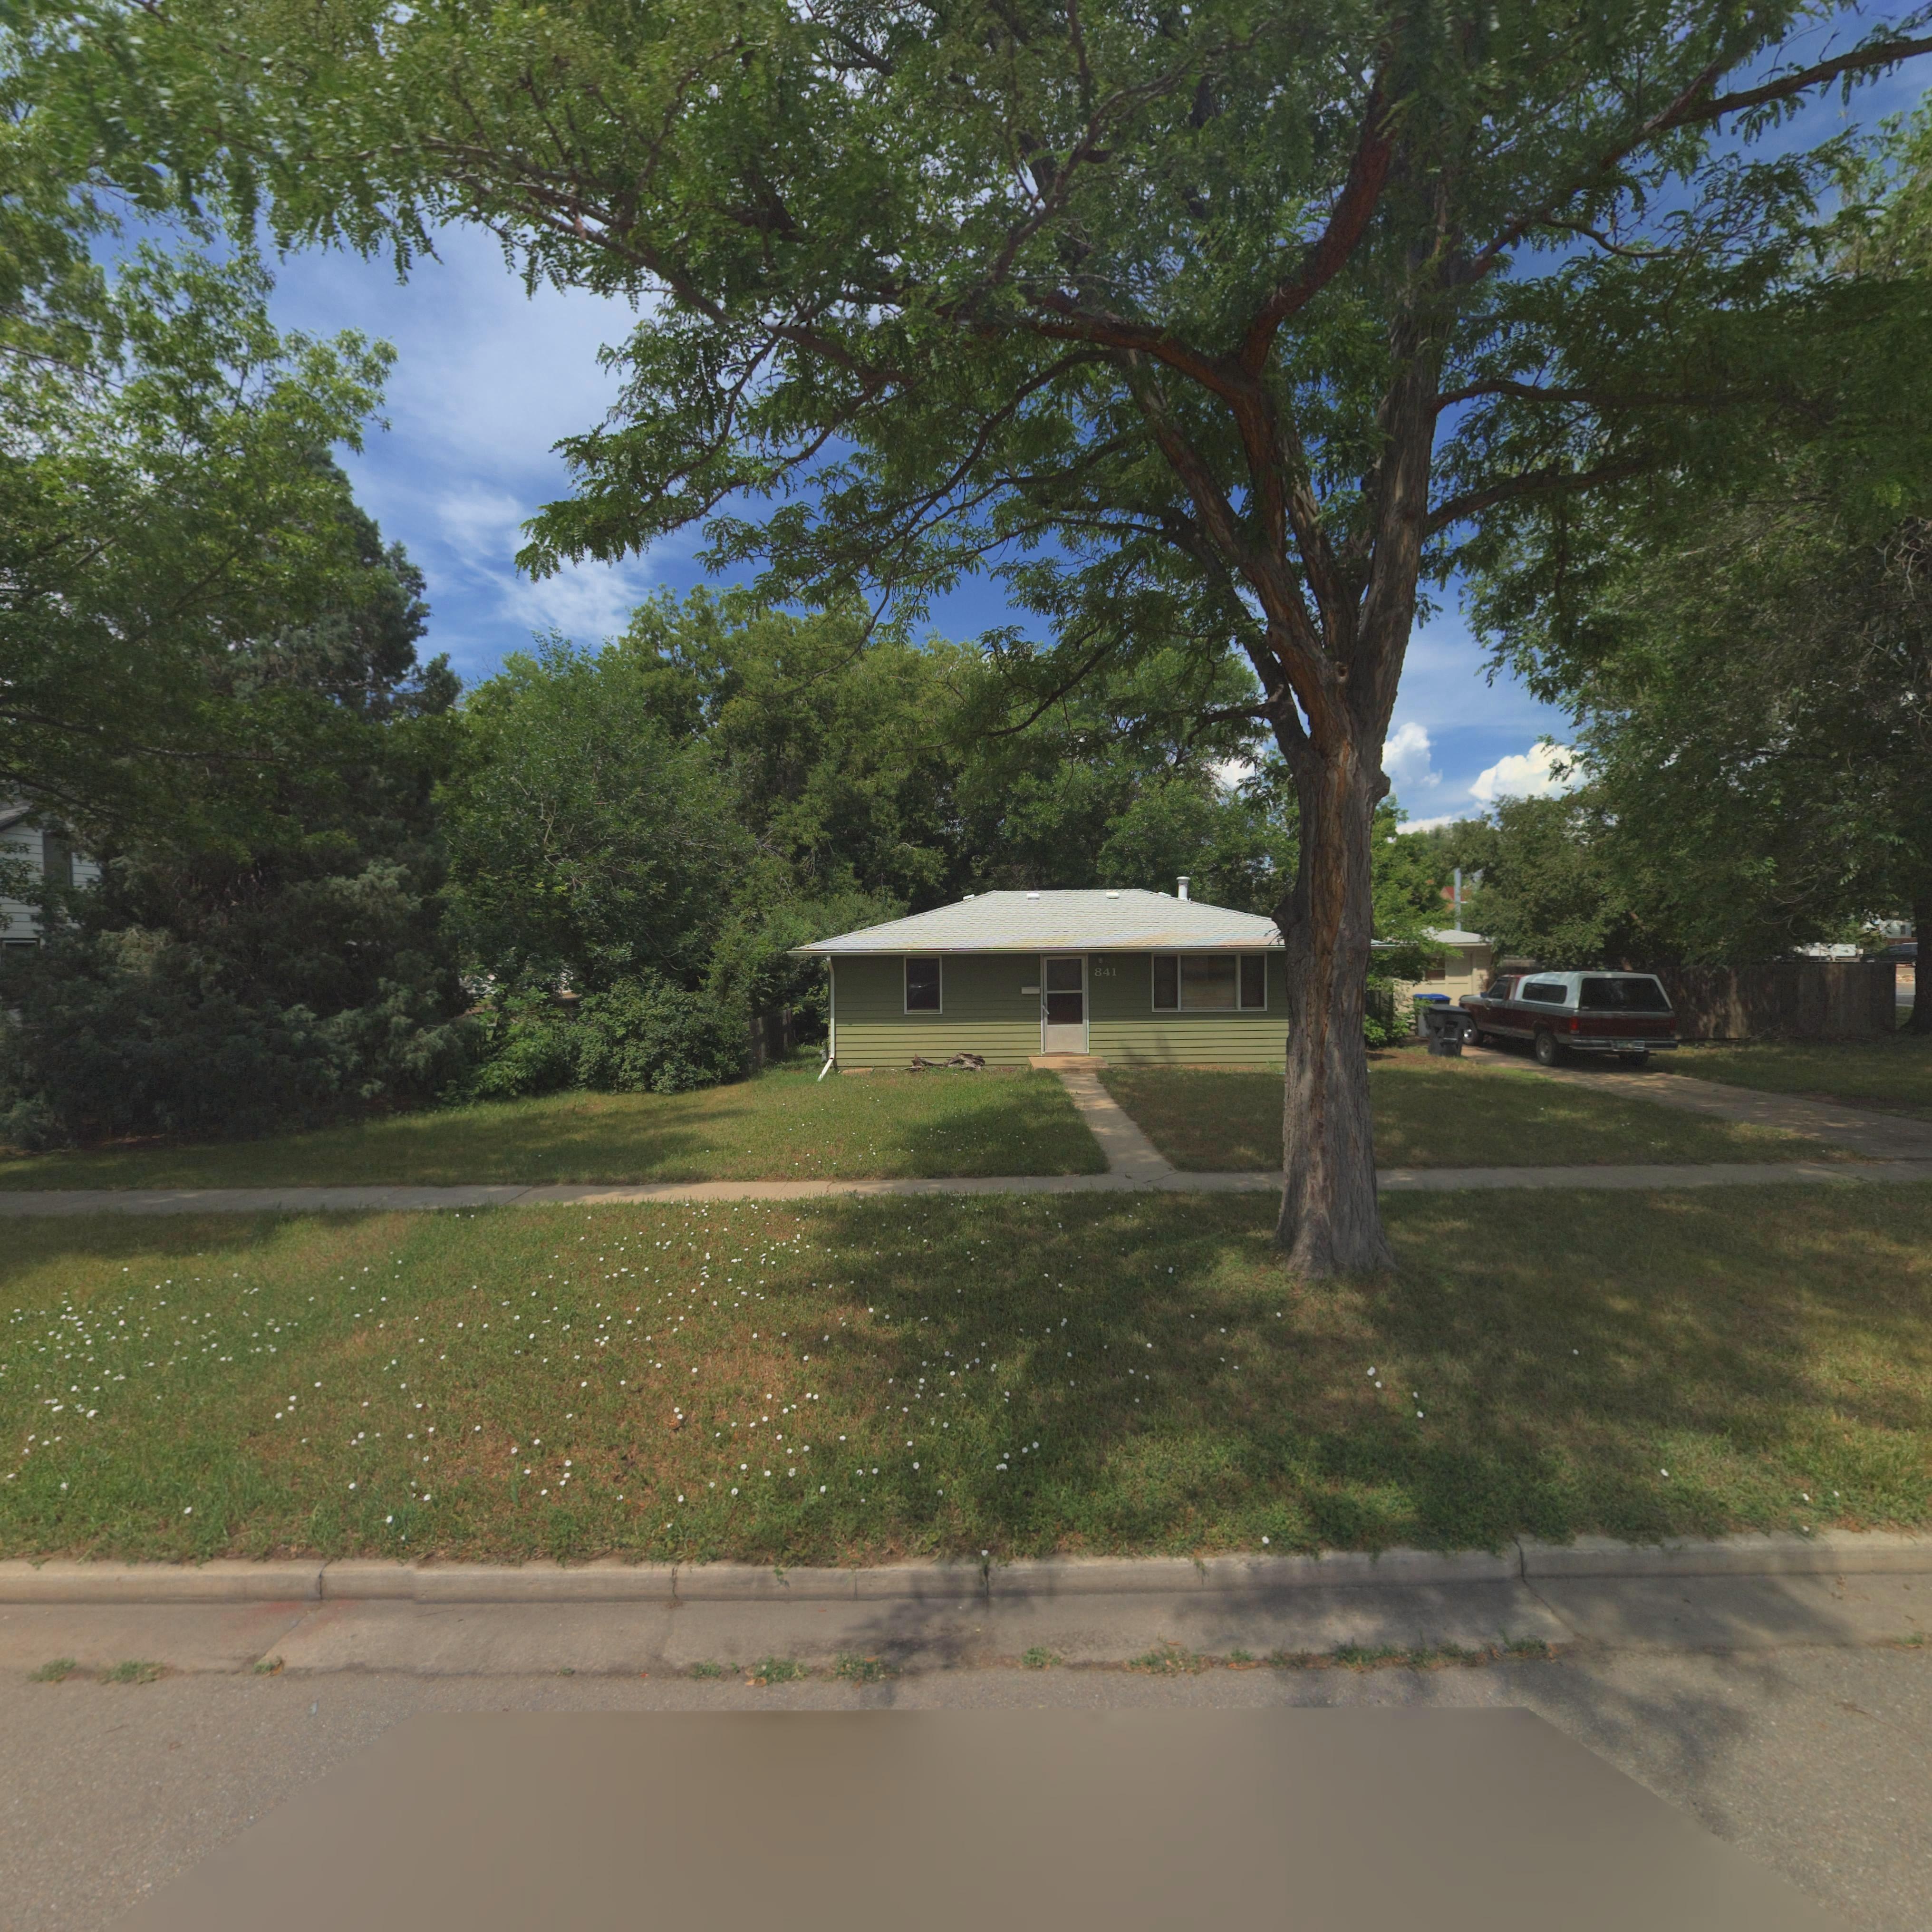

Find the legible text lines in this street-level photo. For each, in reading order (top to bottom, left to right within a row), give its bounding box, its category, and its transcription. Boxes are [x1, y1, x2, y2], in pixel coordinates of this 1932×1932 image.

[1093, 966, 1118, 977] StreetNumber: 841